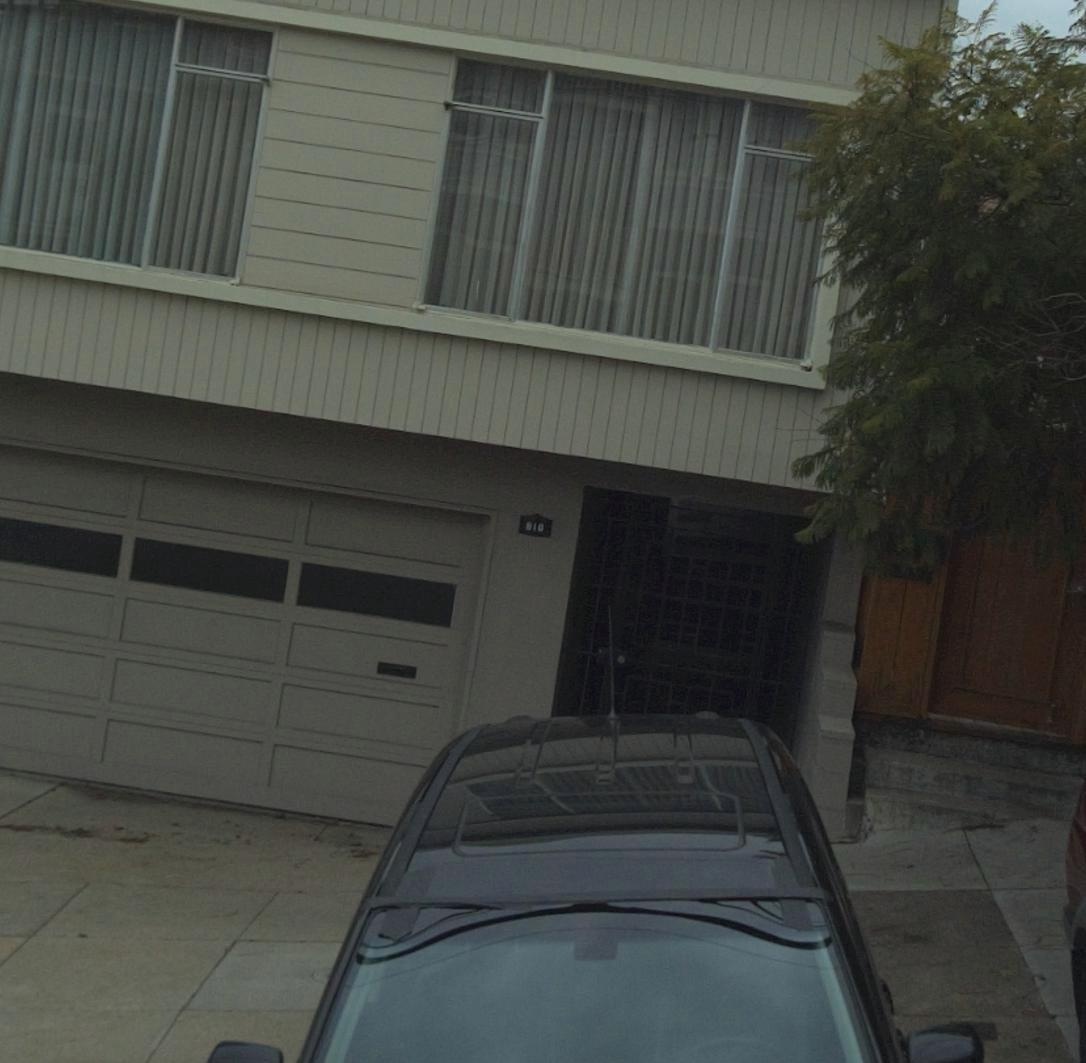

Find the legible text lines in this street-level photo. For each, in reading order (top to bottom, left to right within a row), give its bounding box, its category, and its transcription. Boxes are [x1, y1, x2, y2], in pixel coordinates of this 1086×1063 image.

[524, 520, 546, 533] StreetNumber: 810